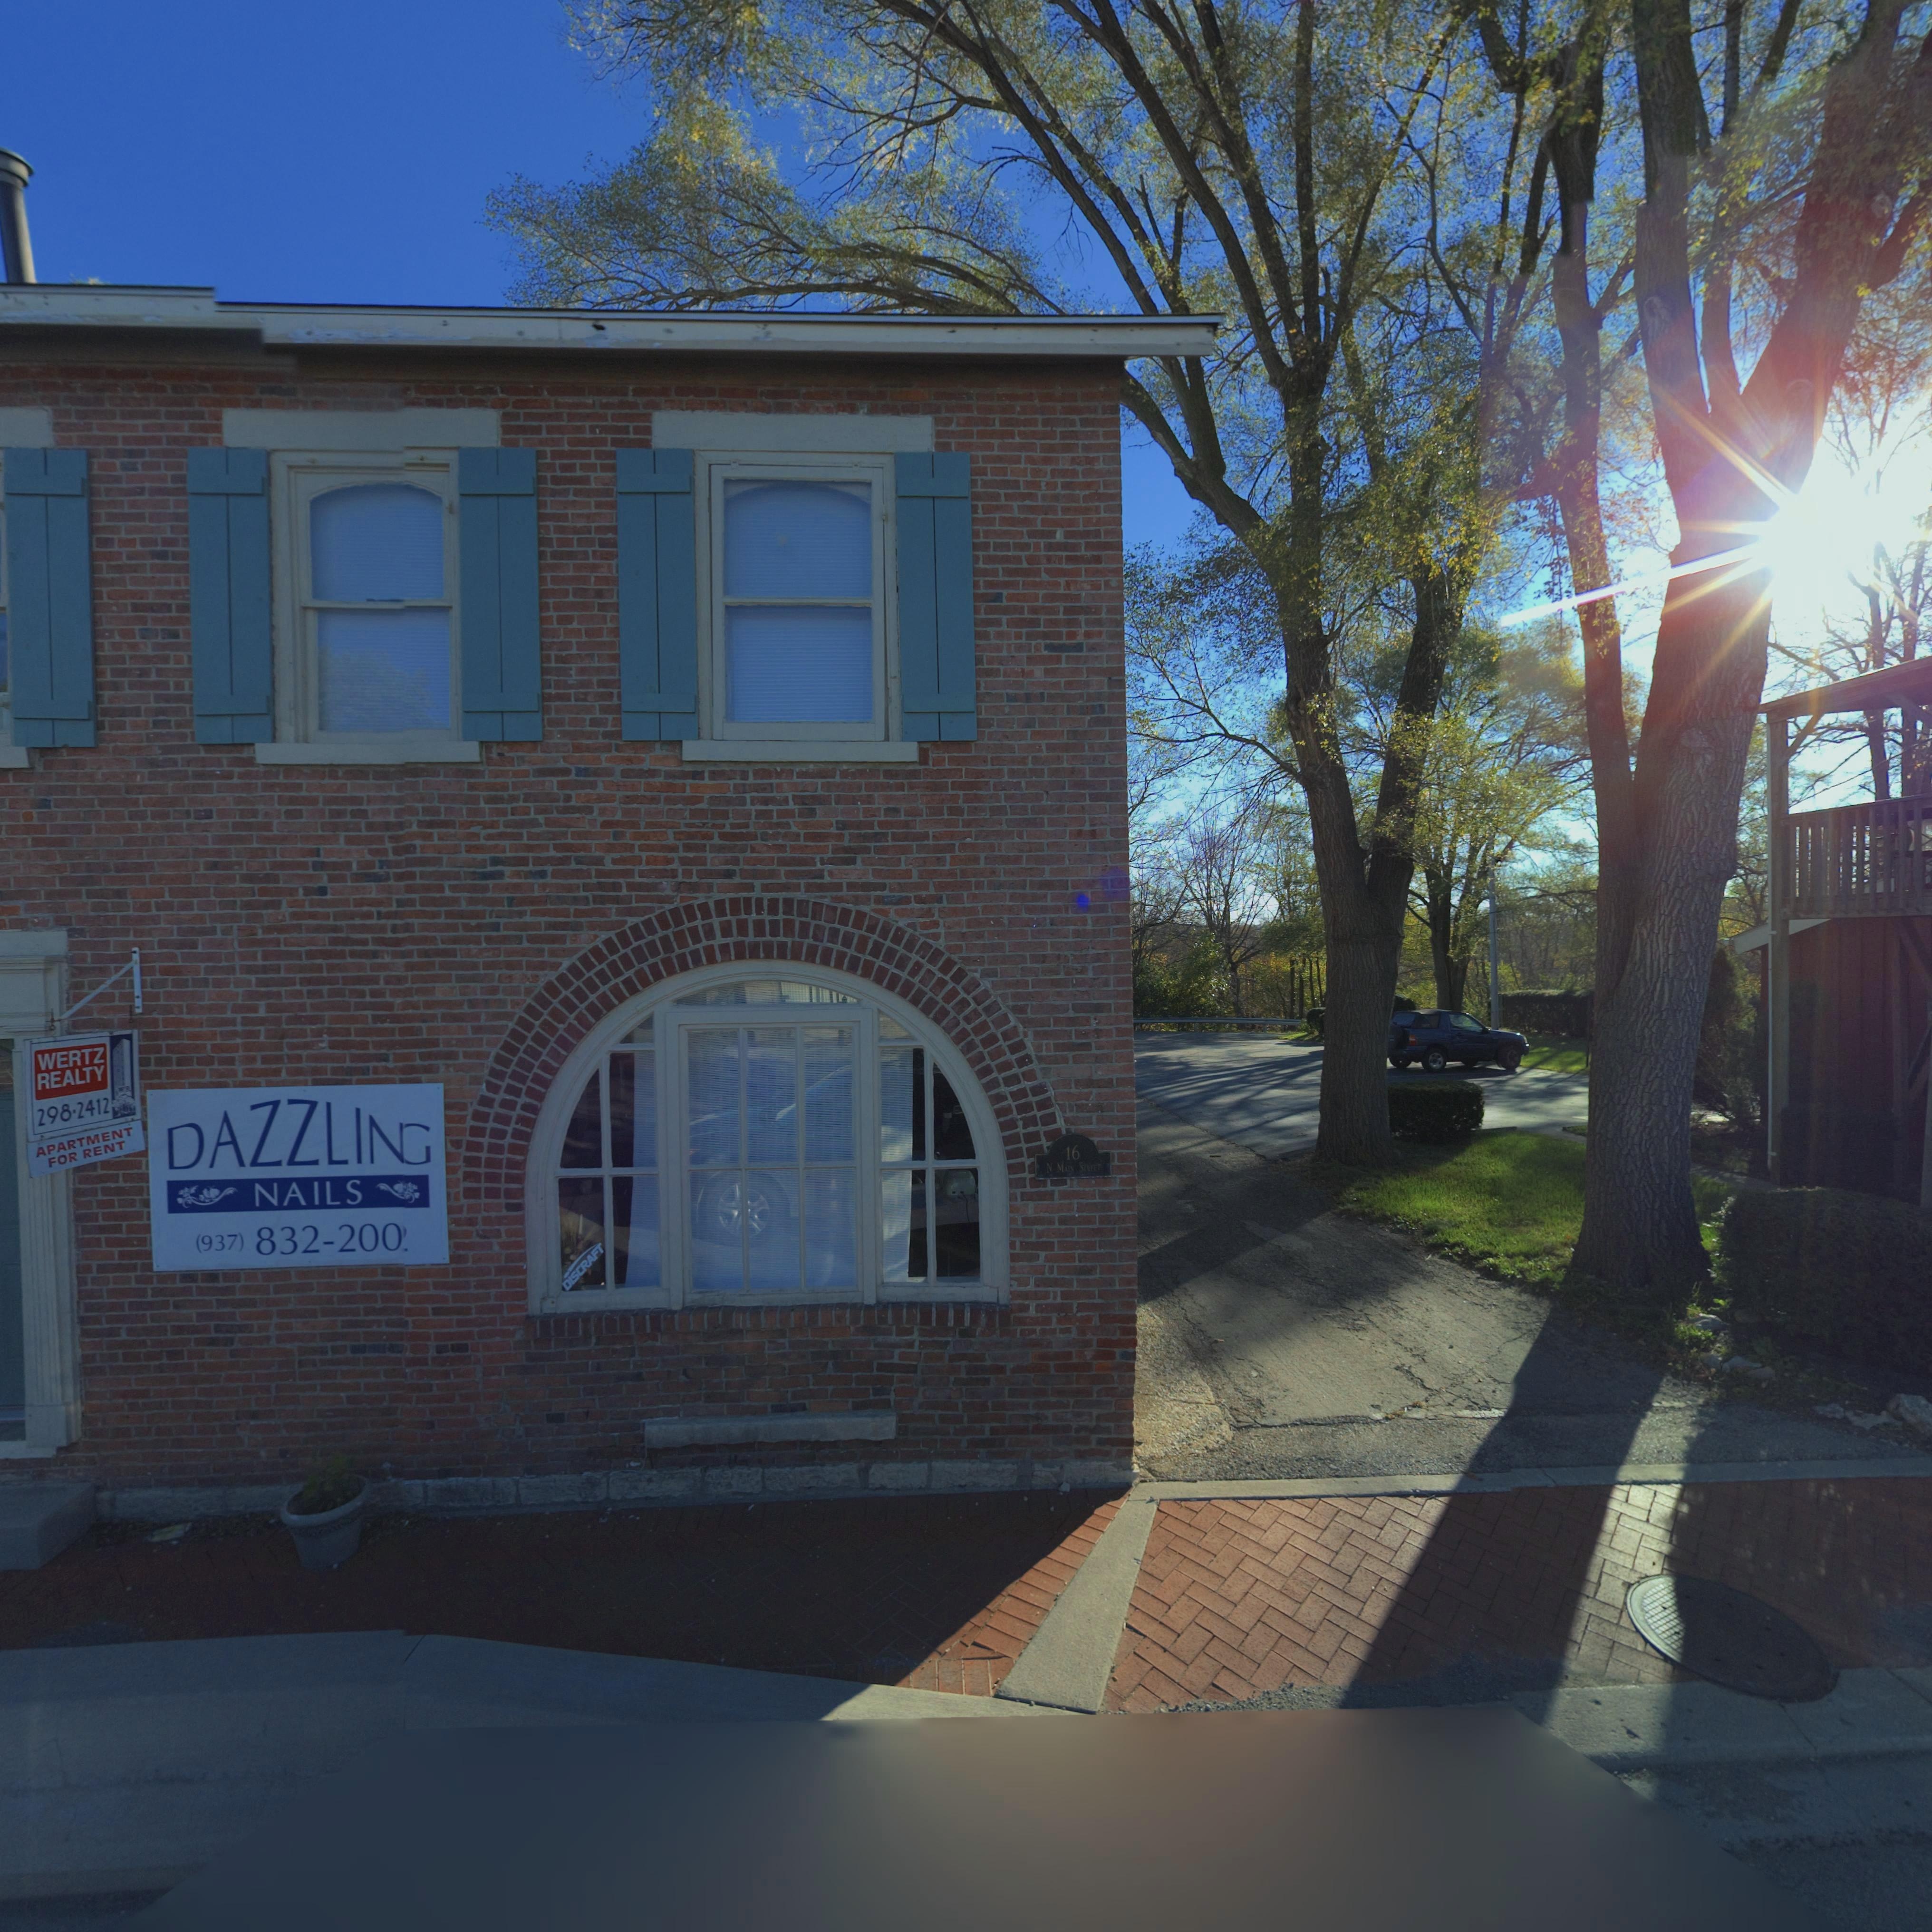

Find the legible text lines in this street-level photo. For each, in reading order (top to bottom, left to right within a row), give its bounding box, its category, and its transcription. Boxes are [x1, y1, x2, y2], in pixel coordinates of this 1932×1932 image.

[34, 1046, 106, 1072] None: WERTZ
[36, 1064, 106, 1092] None: REALTY
[36, 1096, 111, 1129] None: 298-2412
[35, 1126, 134, 1160] None: APARTMENT
[46, 1139, 127, 1169] None: FOR RENT
[165, 1097, 432, 1172] None: DAZZLING
[1066, 1144, 1081, 1161] StreetNumber: 16
[253, 1179, 363, 1210] None: NAILS
[194, 1221, 403, 1258] None: (937)832-200